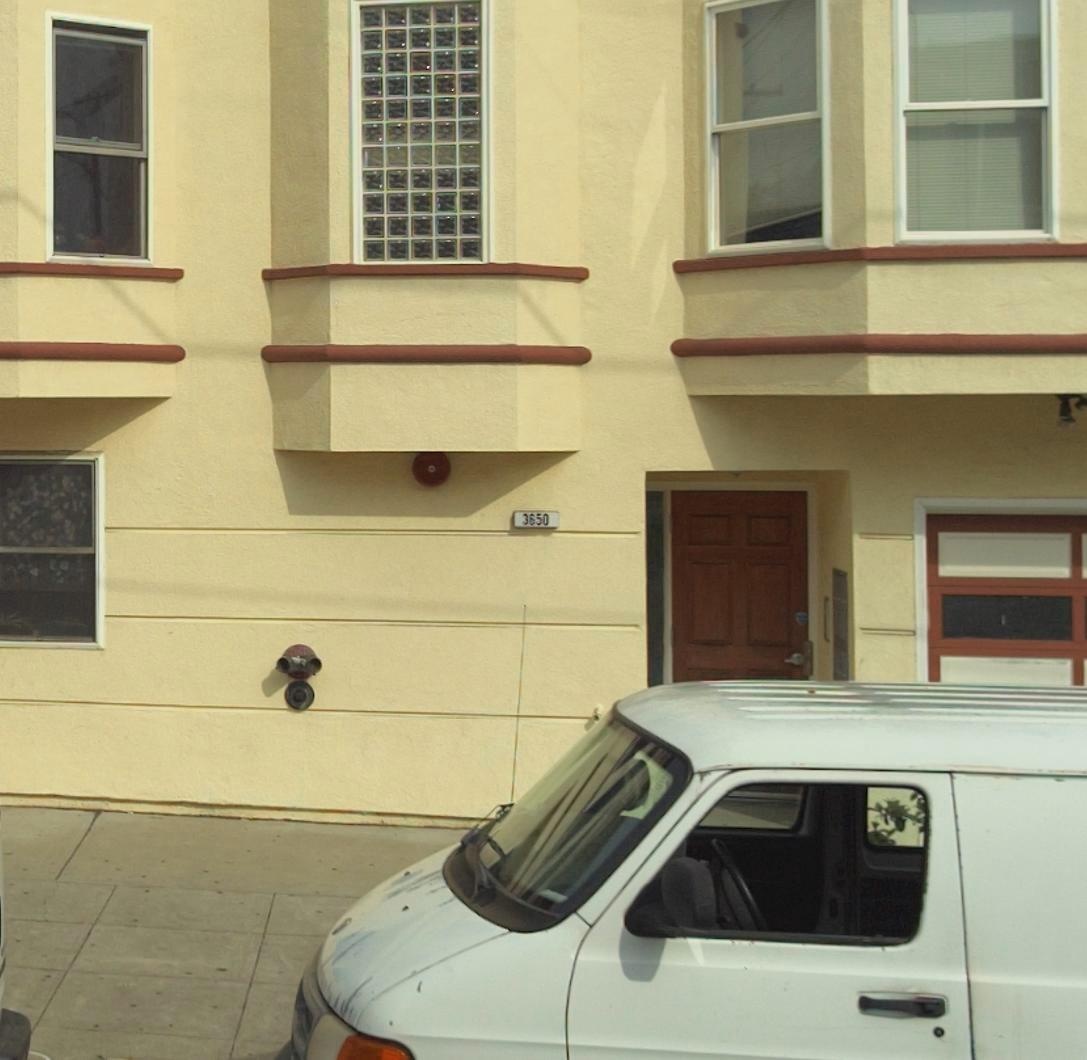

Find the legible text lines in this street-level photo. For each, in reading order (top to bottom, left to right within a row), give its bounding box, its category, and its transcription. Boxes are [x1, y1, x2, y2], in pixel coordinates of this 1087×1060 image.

[521, 512, 550, 527] StreetNumber: 3650